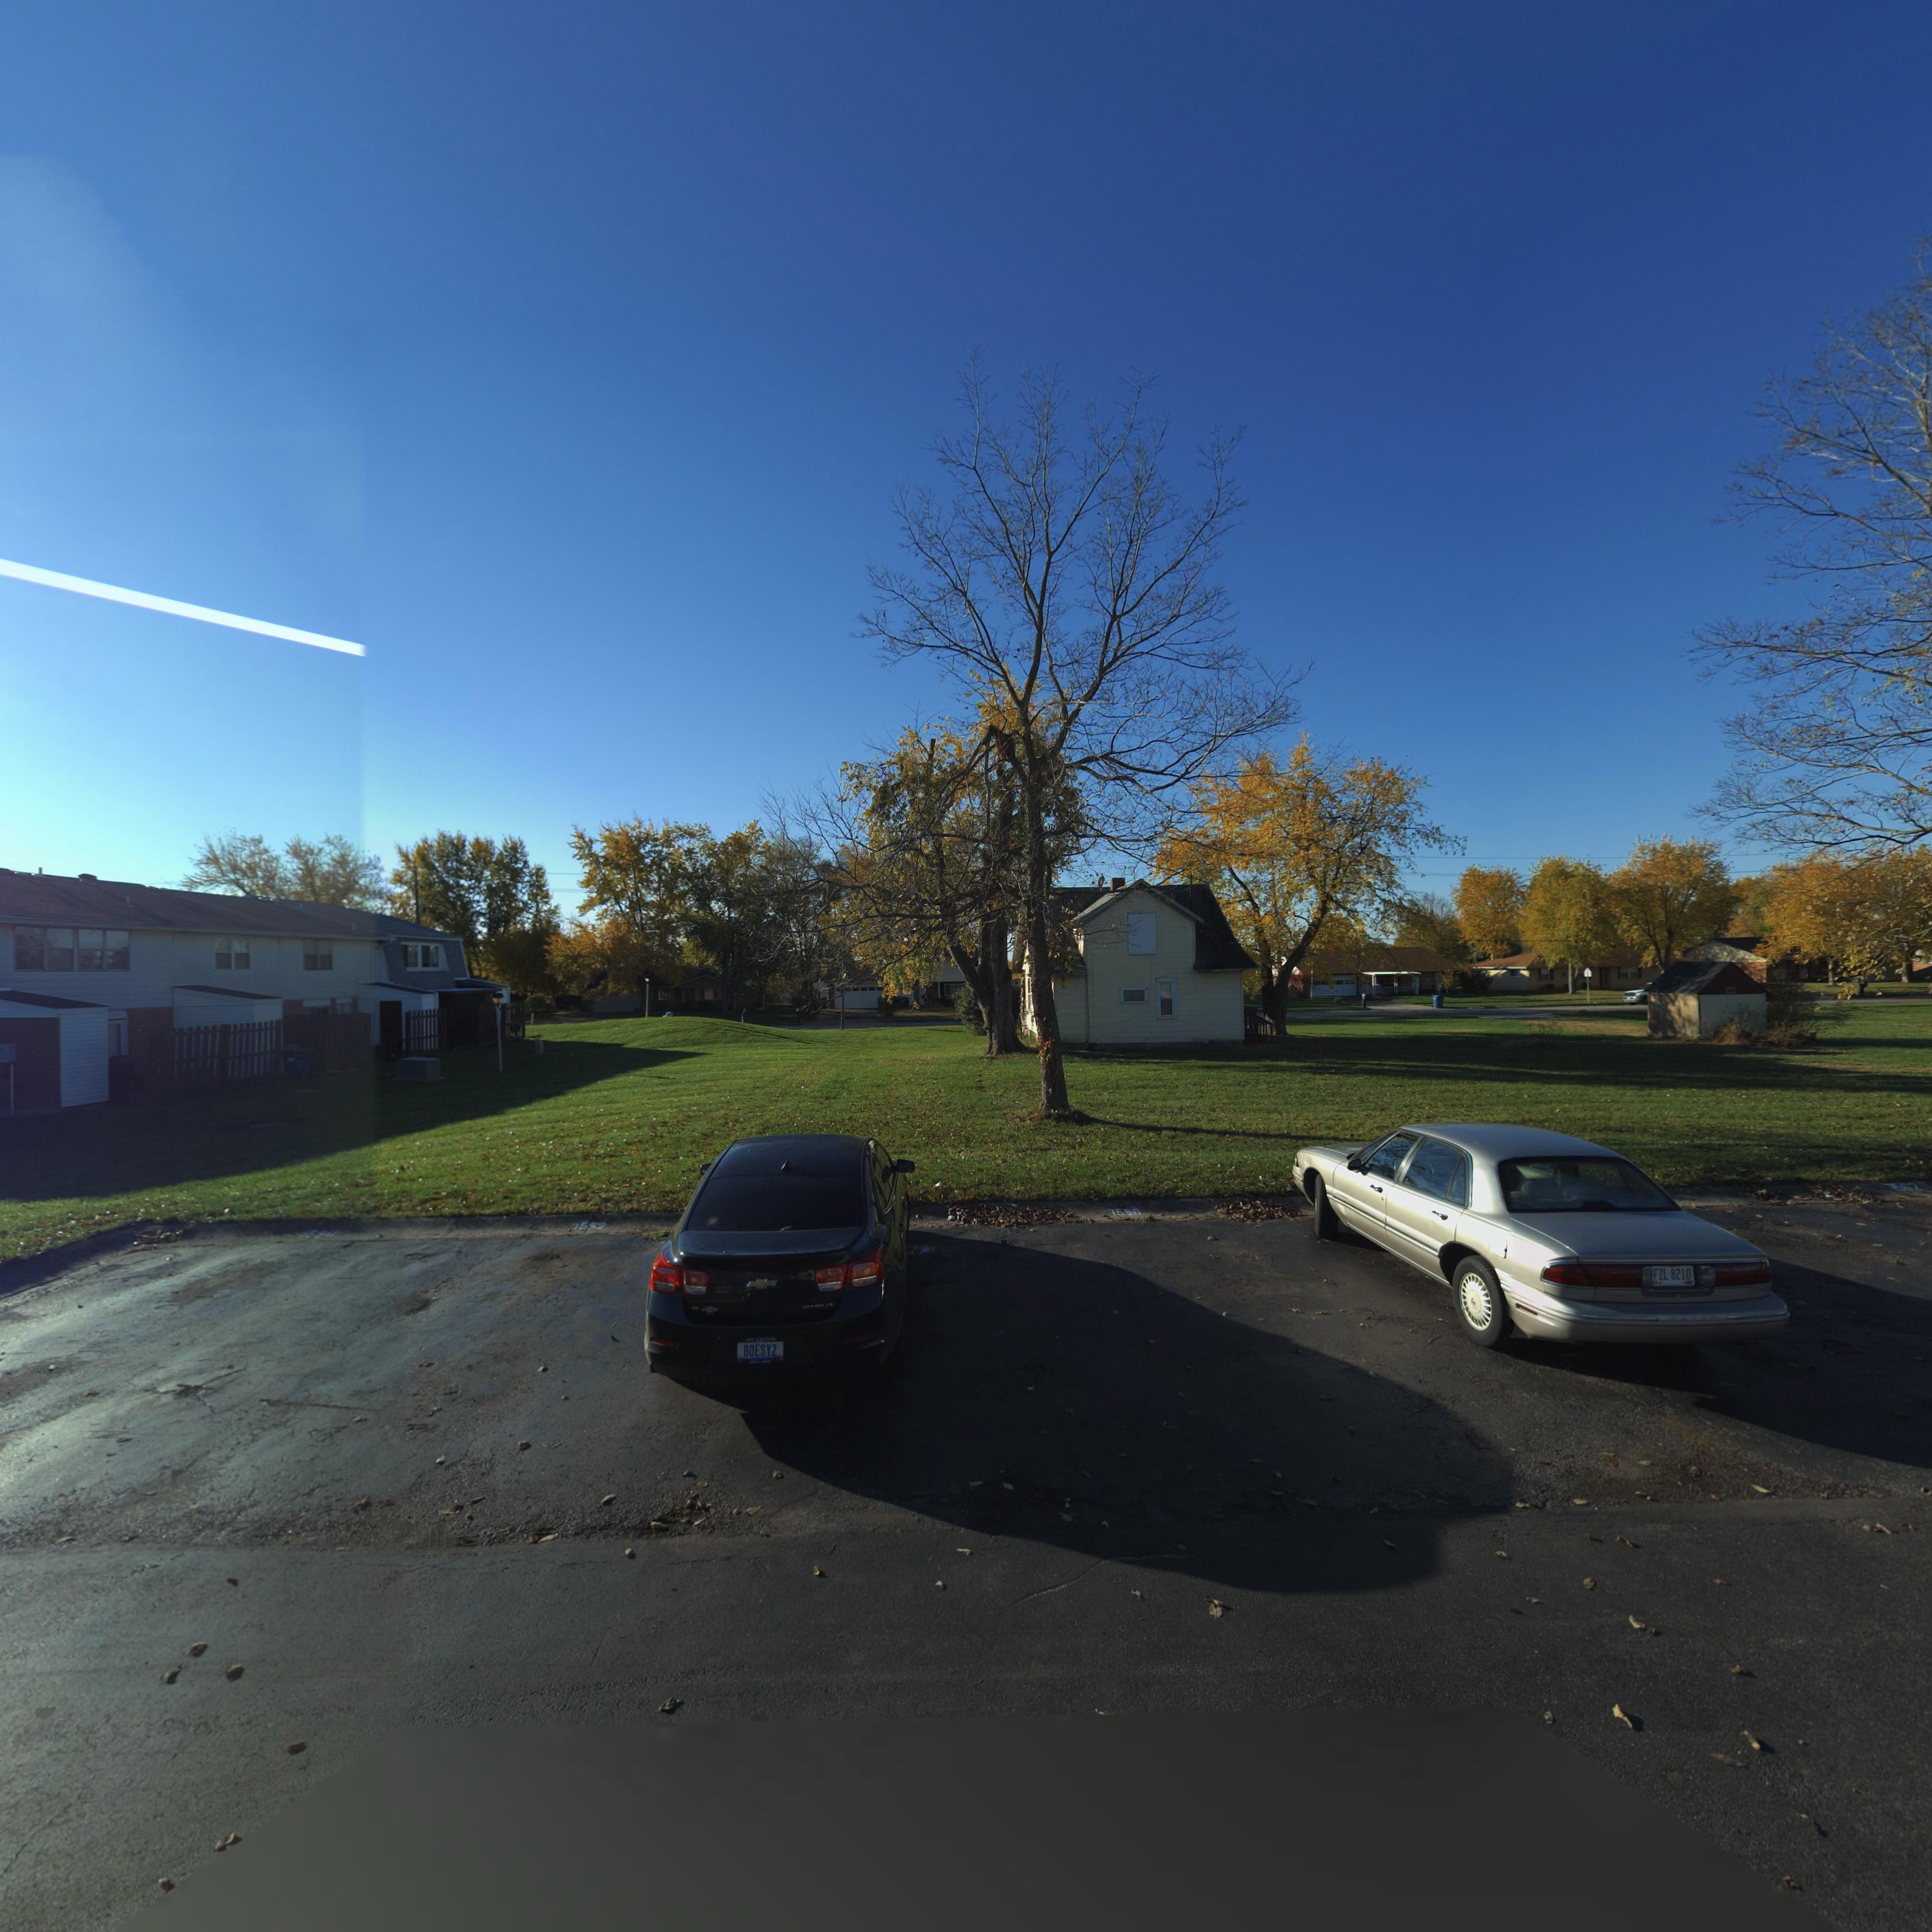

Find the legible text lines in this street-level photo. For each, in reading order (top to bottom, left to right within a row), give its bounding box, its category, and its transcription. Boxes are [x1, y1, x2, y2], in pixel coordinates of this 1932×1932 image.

[1105, 1207, 1143, 1217] StreetNumber: 7556
[570, 1221, 609, 1232] StreetNumber: 7552
[1651, 1268, 1692, 1283] None: FZL 8210
[741, 1342, 777, 1360] None: BOESY2